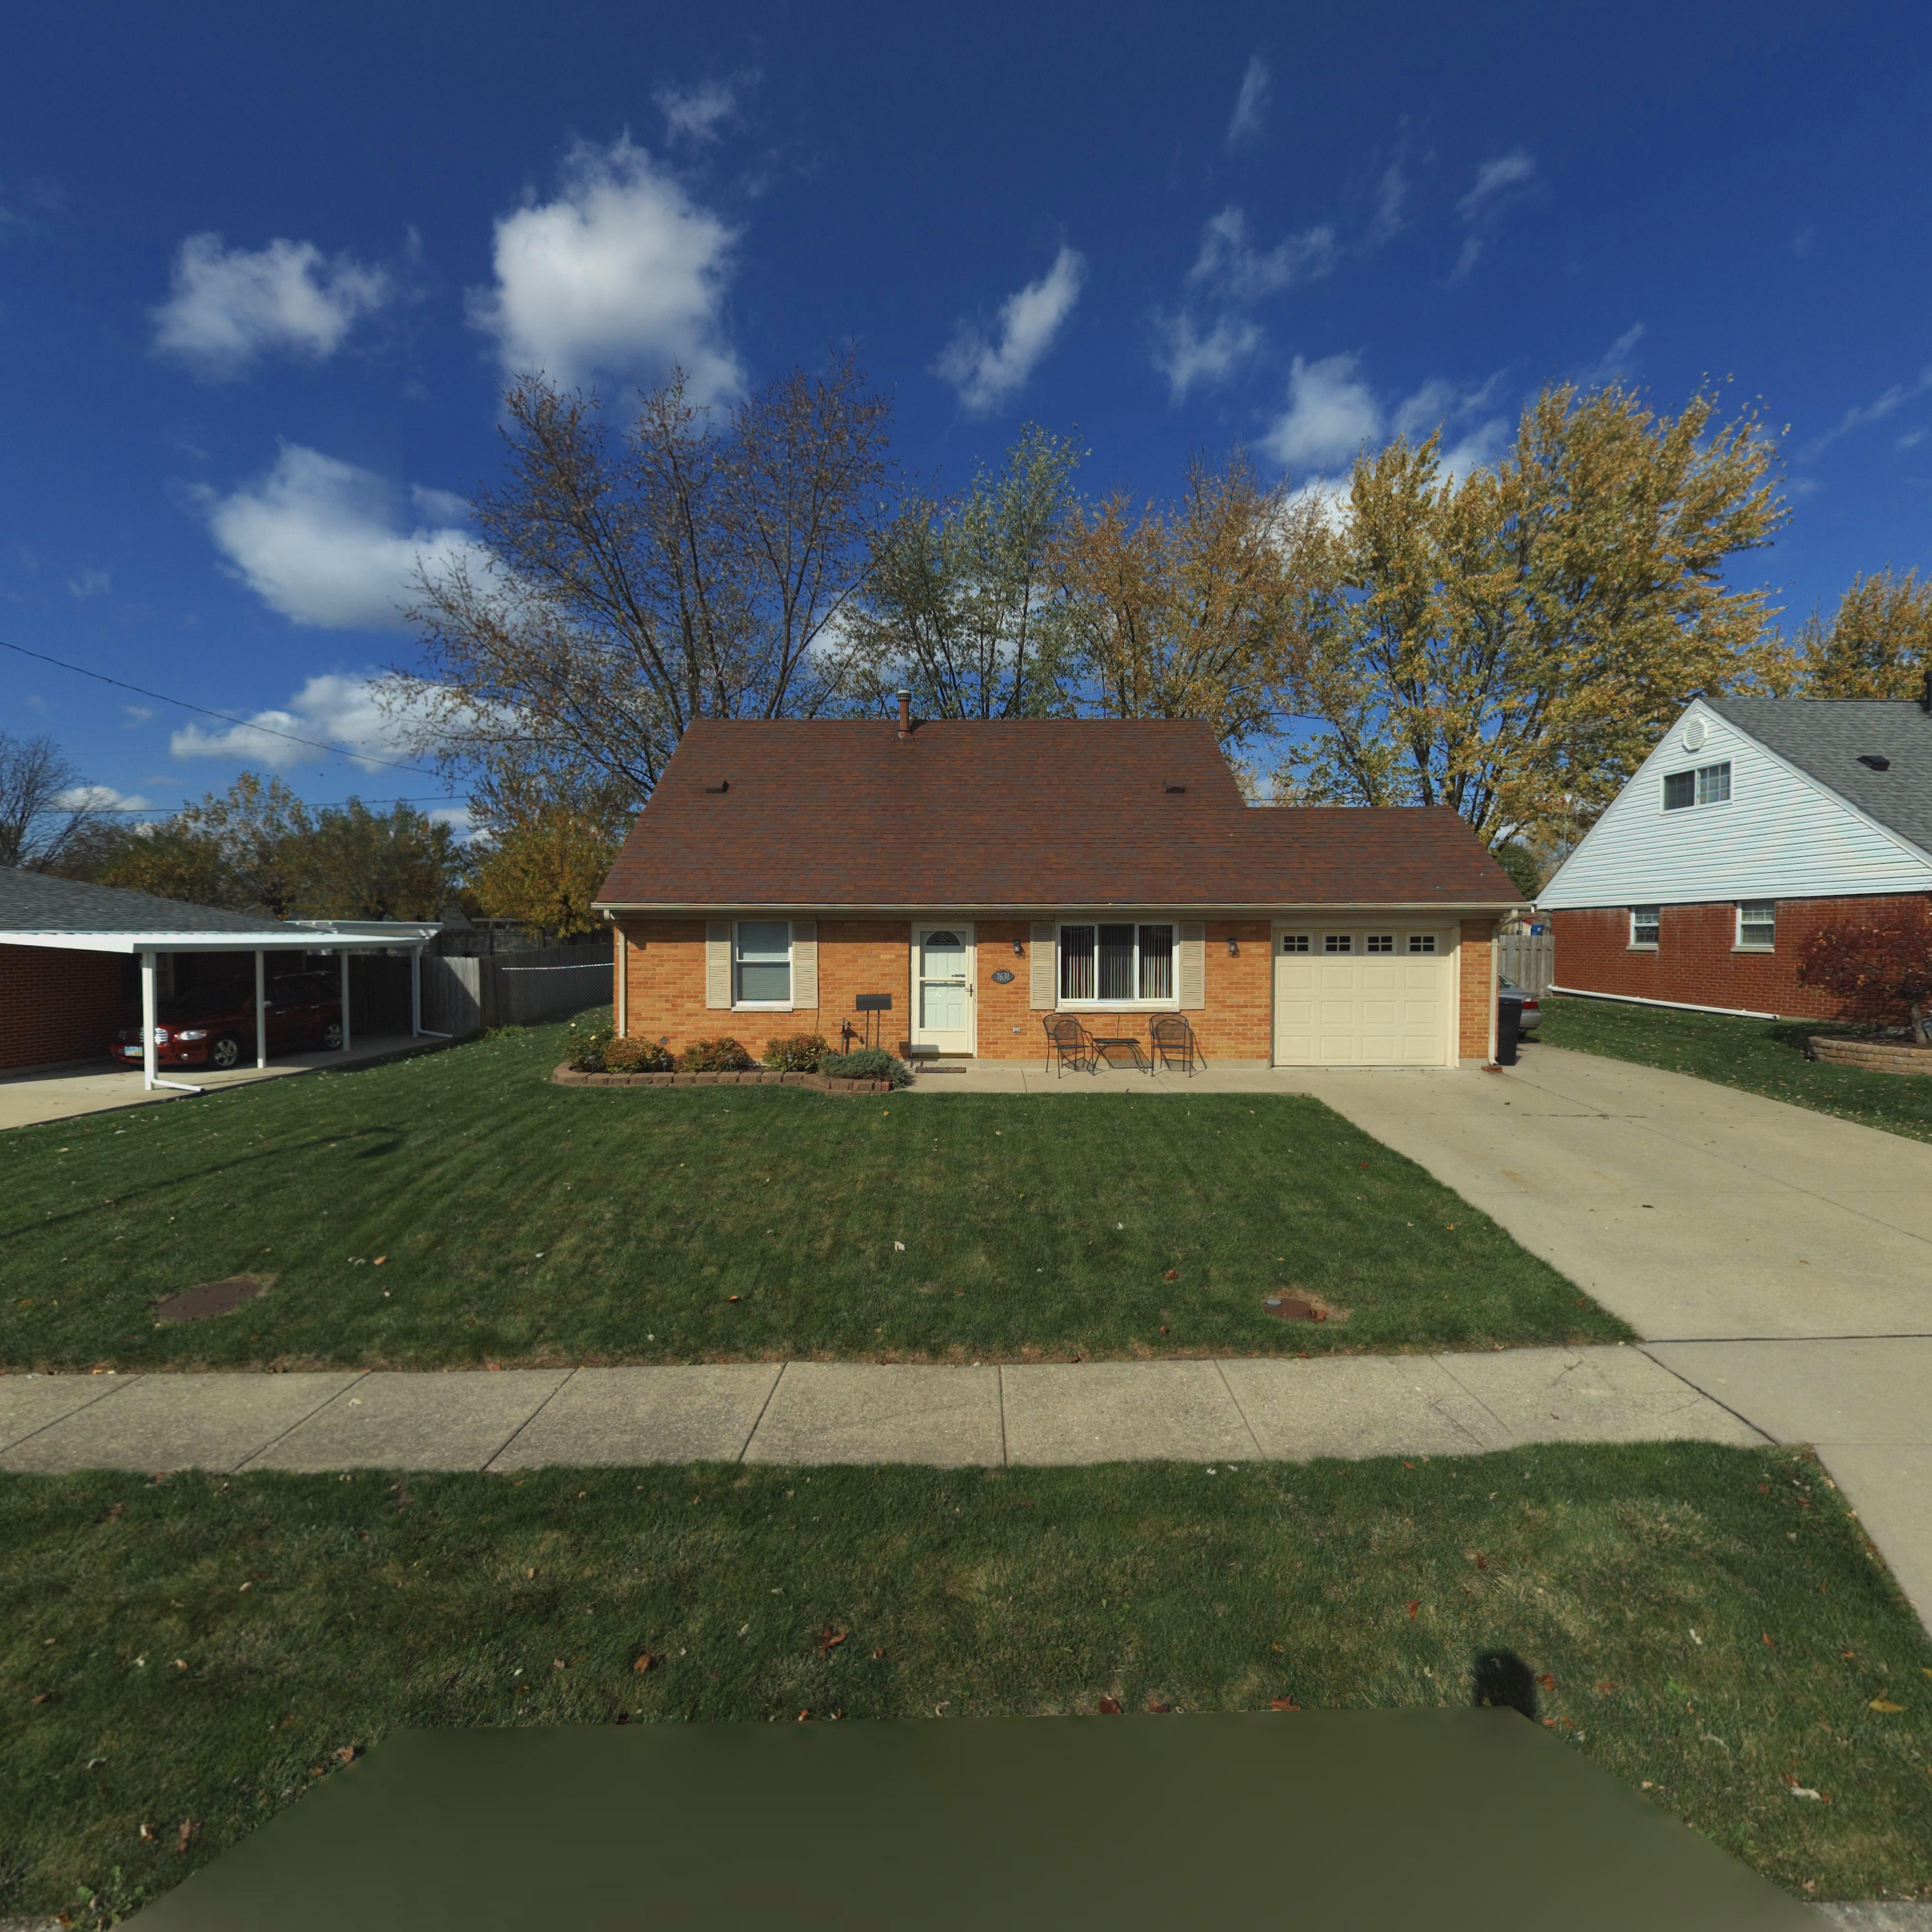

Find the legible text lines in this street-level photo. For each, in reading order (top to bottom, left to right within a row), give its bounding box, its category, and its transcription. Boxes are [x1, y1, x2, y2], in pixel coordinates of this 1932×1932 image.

[996, 972, 1009, 981] StreetNumber: 7631